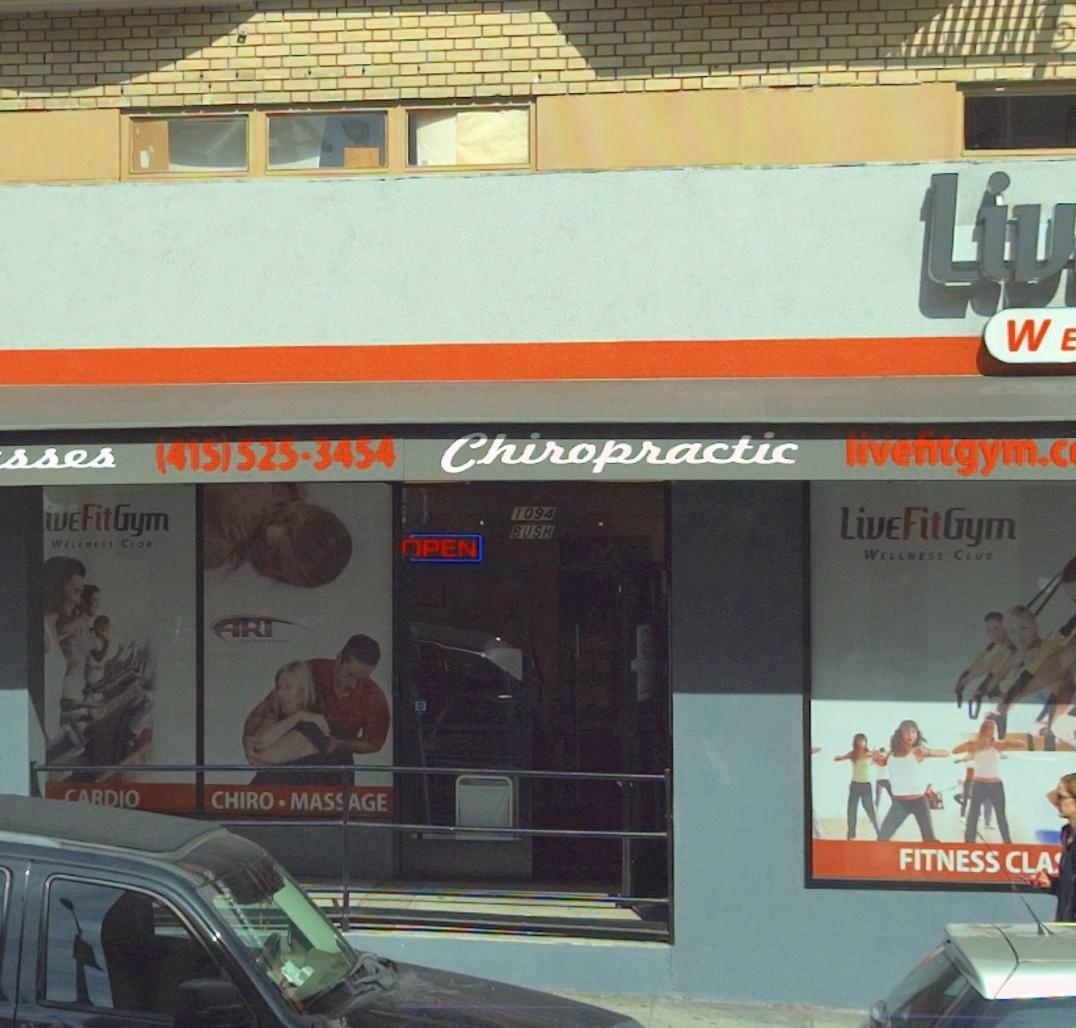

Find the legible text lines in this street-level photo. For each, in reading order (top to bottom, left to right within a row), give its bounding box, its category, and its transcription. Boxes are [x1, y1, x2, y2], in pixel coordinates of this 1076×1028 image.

[917, 164, 1076, 291] BusinessName: Liv
[1001, 316, 1060, 358] BusinessName: W
[2, 423, 1074, 483] None: sses (415)525-3454 Chiropractic livefitgym.c
[47, 532, 157, 554] BusinessName: WELLNESS CLUB
[41, 497, 180, 541] BusinessName: weFitGym
[398, 532, 482, 562] None: OPEN
[508, 521, 558, 540] StreetName: BUSH
[507, 504, 561, 524] StreetNumber: 1094
[833, 499, 1020, 552] BusinessName: LiveFitGym
[859, 542, 998, 567] BusinessName: WELLNESS CLUB
[208, 615, 288, 643] None: ART
[102, 787, 144, 812] None: DIO
[206, 787, 395, 815] None: CHITO * MAS*AGE
[893, 843, 1056, 880] None: FITNESS CLA